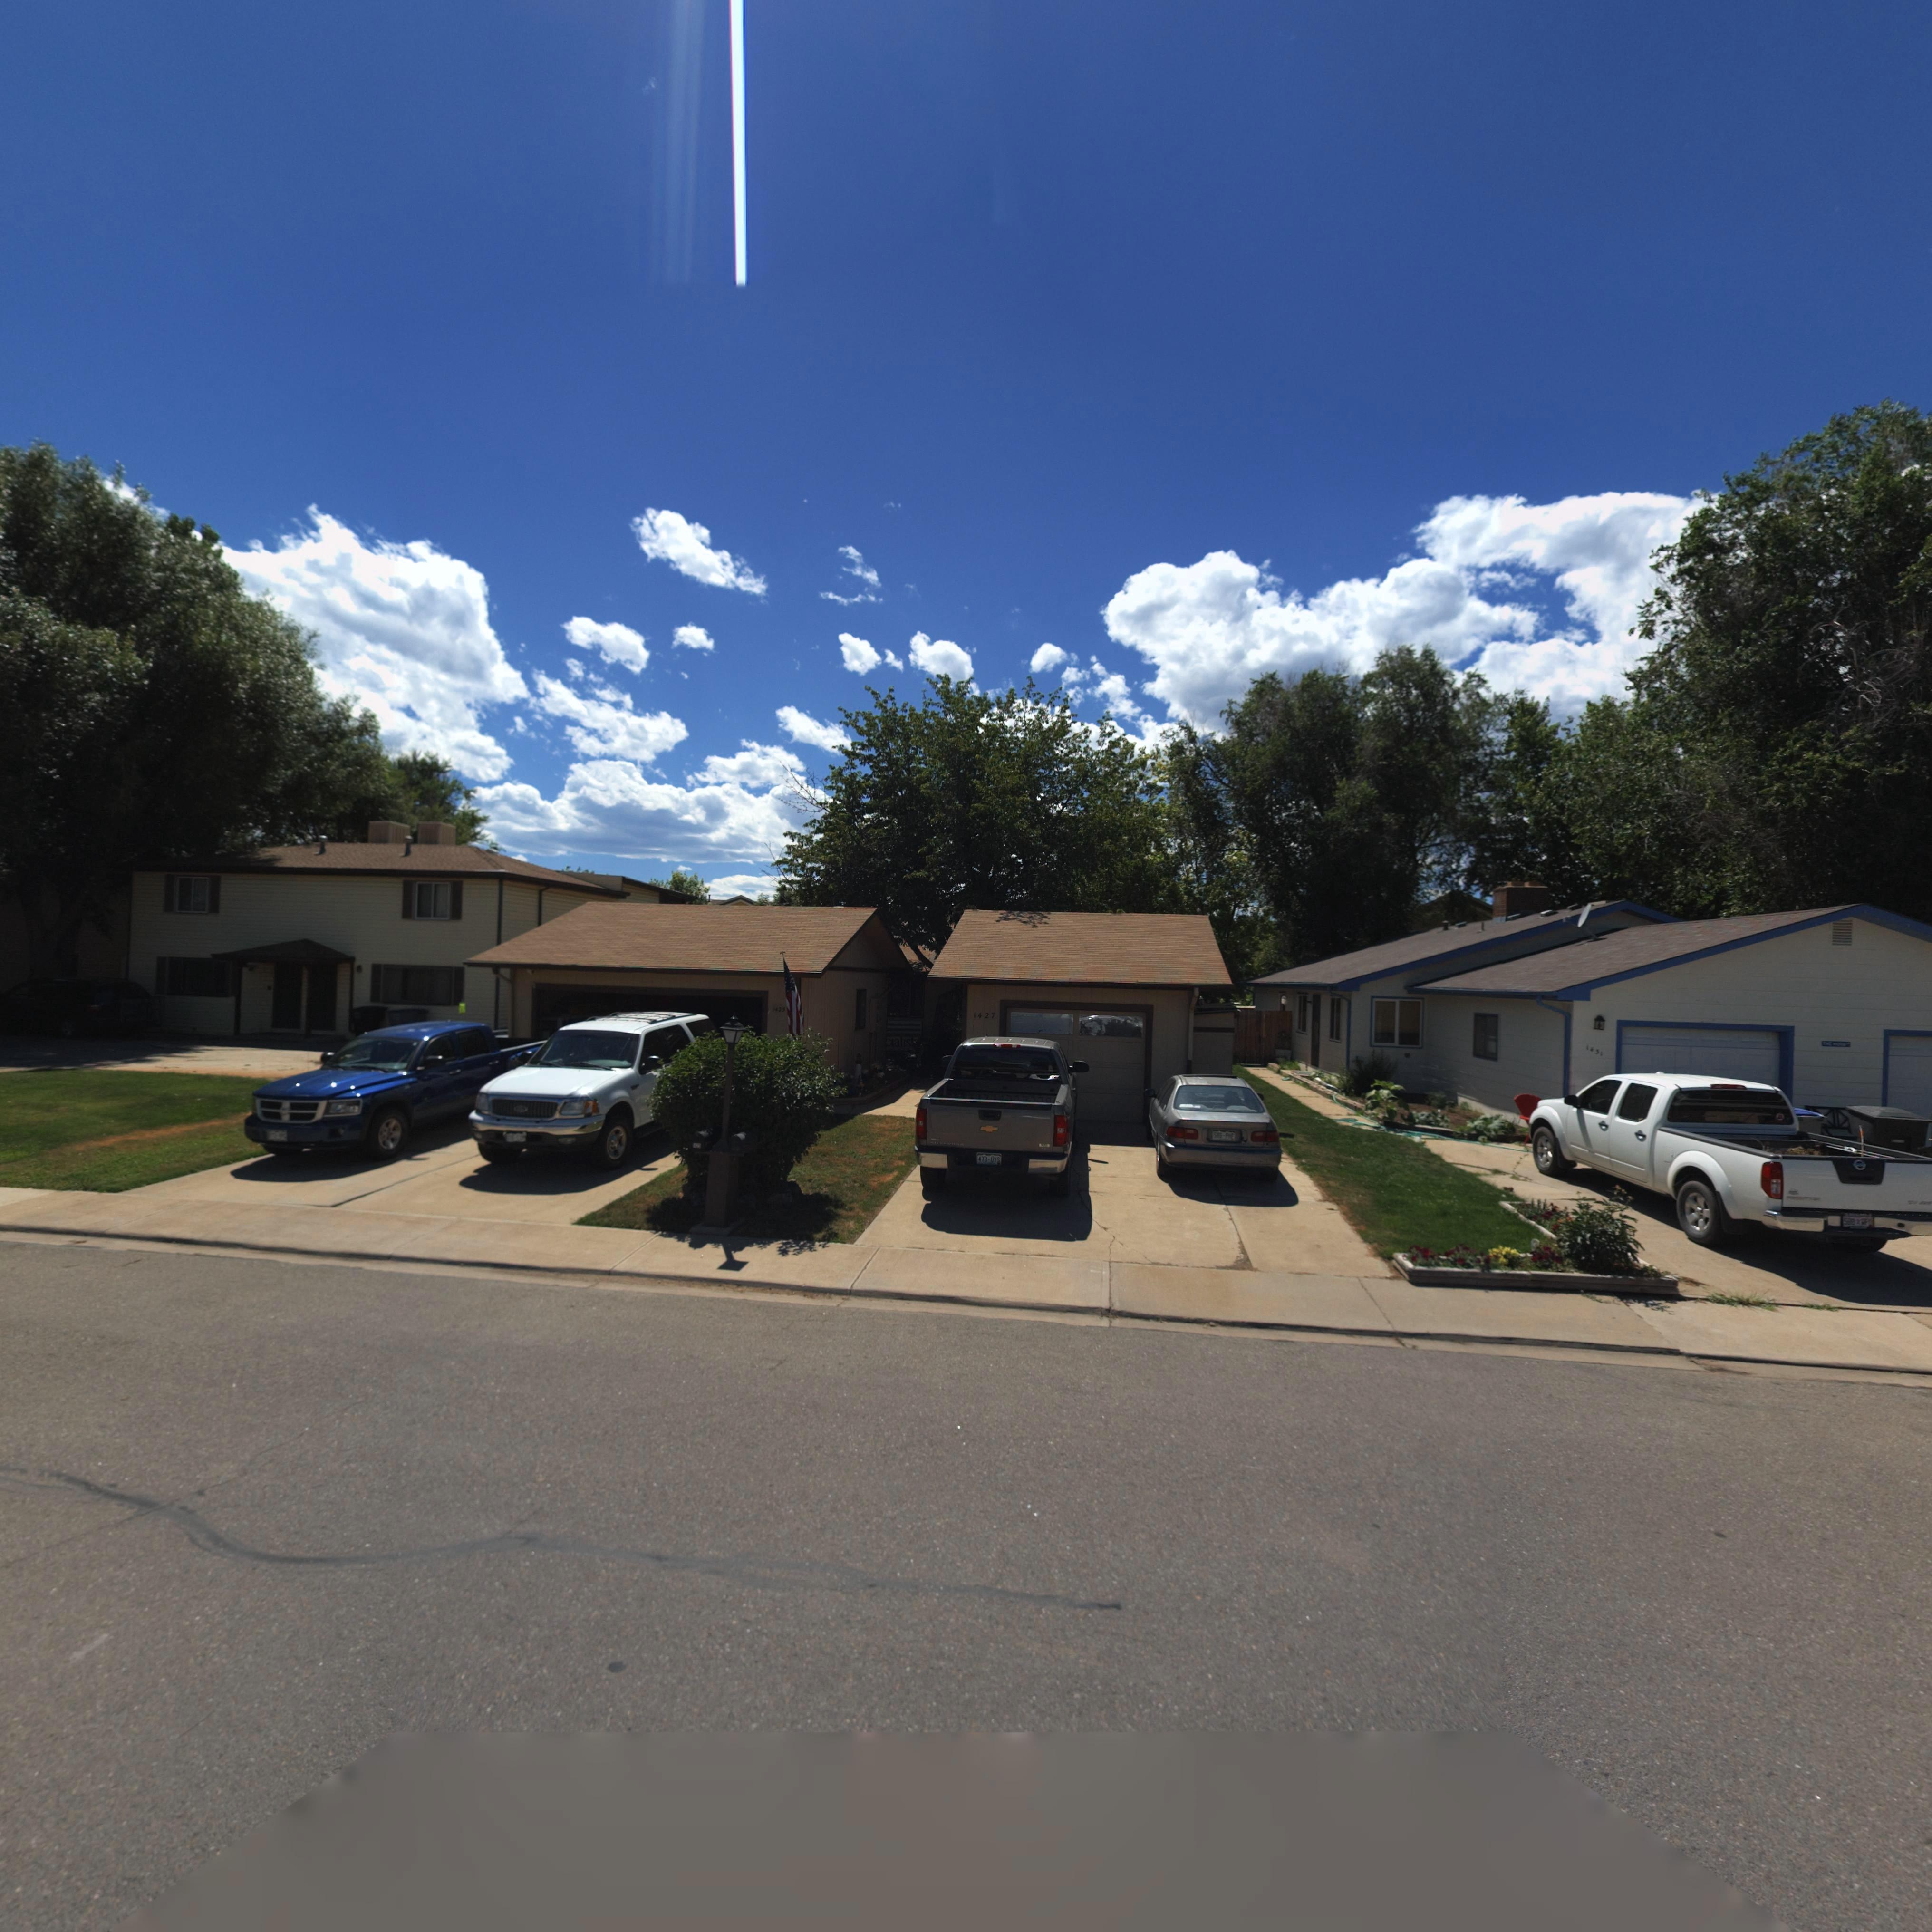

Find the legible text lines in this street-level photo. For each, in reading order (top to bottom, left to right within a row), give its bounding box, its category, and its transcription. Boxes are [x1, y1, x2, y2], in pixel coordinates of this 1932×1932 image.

[773, 1007, 786, 1012] StreetNumber: 1425
[974, 1012, 996, 1019] StreetNumber: 1427
[1585, 1044, 1603, 1057] StreetNumber: 1431